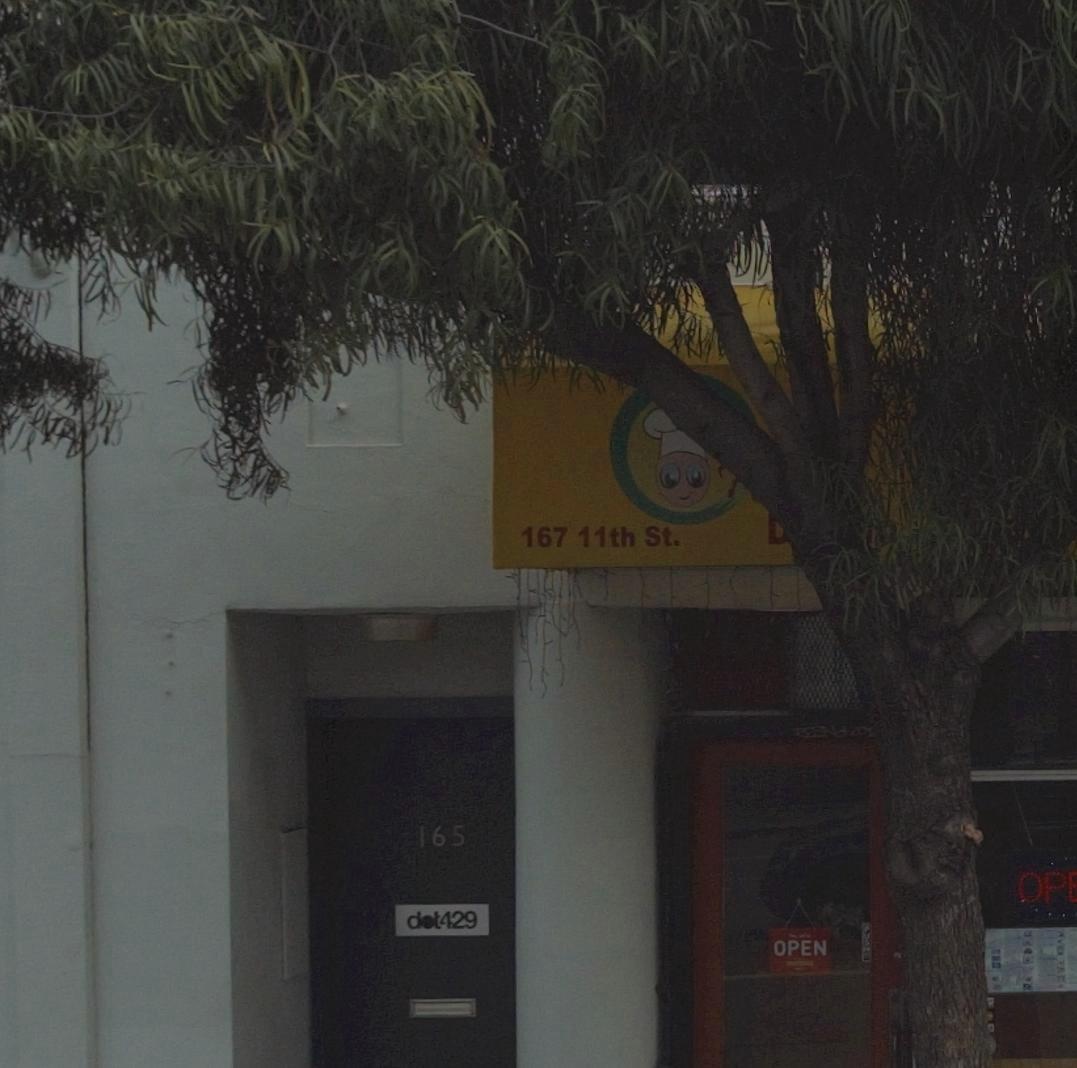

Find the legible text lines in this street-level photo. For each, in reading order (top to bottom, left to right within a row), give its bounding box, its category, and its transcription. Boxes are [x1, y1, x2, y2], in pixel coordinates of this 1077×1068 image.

[520, 524, 570, 549] StreetNumber: 167
[574, 522, 684, 548] StreetName: 11th St.
[418, 823, 467, 849] StreetNumber: 165
[1016, 868, 1069, 907] None: OP
[405, 908, 479, 932] None: dot429
[771, 937, 829, 958] None: OPEN